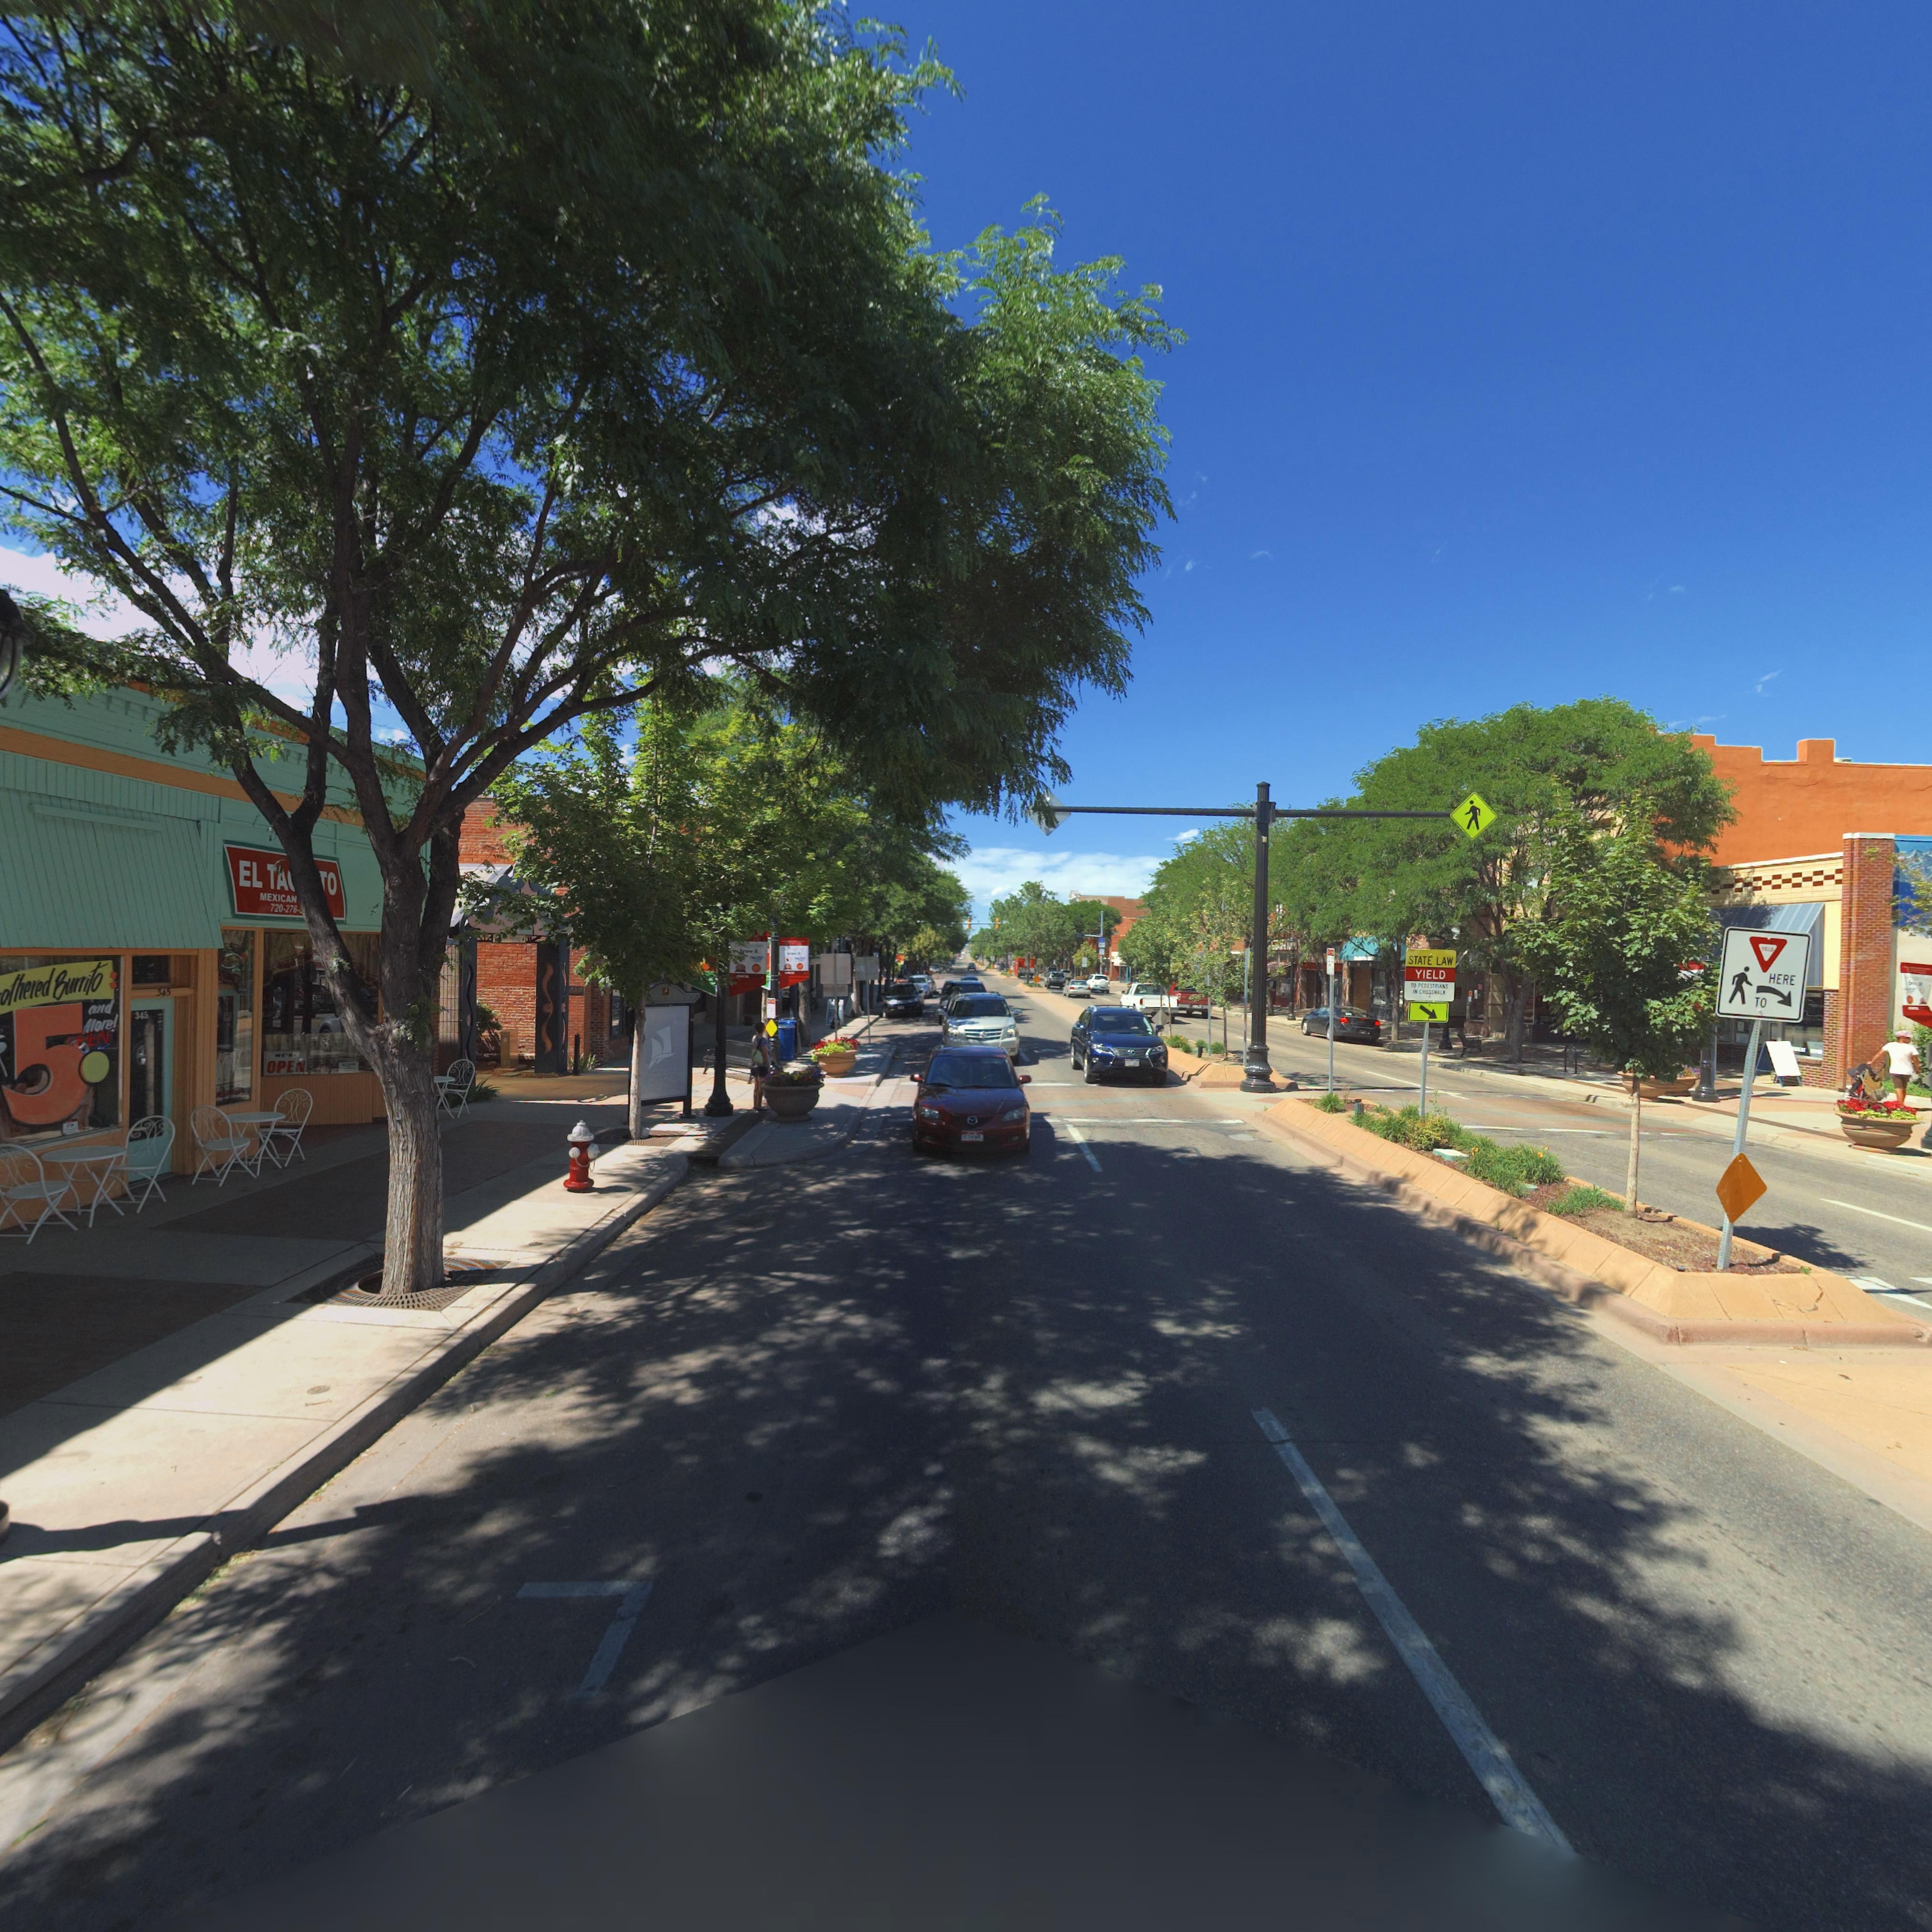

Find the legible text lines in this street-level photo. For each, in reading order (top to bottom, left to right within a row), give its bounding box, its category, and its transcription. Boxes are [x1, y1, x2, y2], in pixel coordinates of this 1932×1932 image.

[239, 859, 337, 896] BusinessName: EL TA***O
[260, 892, 297, 903] BusinessName: MEXICAN
[155, 987, 171, 996] StreetNumber: 345
[570, 986, 582, 990] StreetName: MAI*
[135, 1011, 148, 1019] StreetNumber: 345